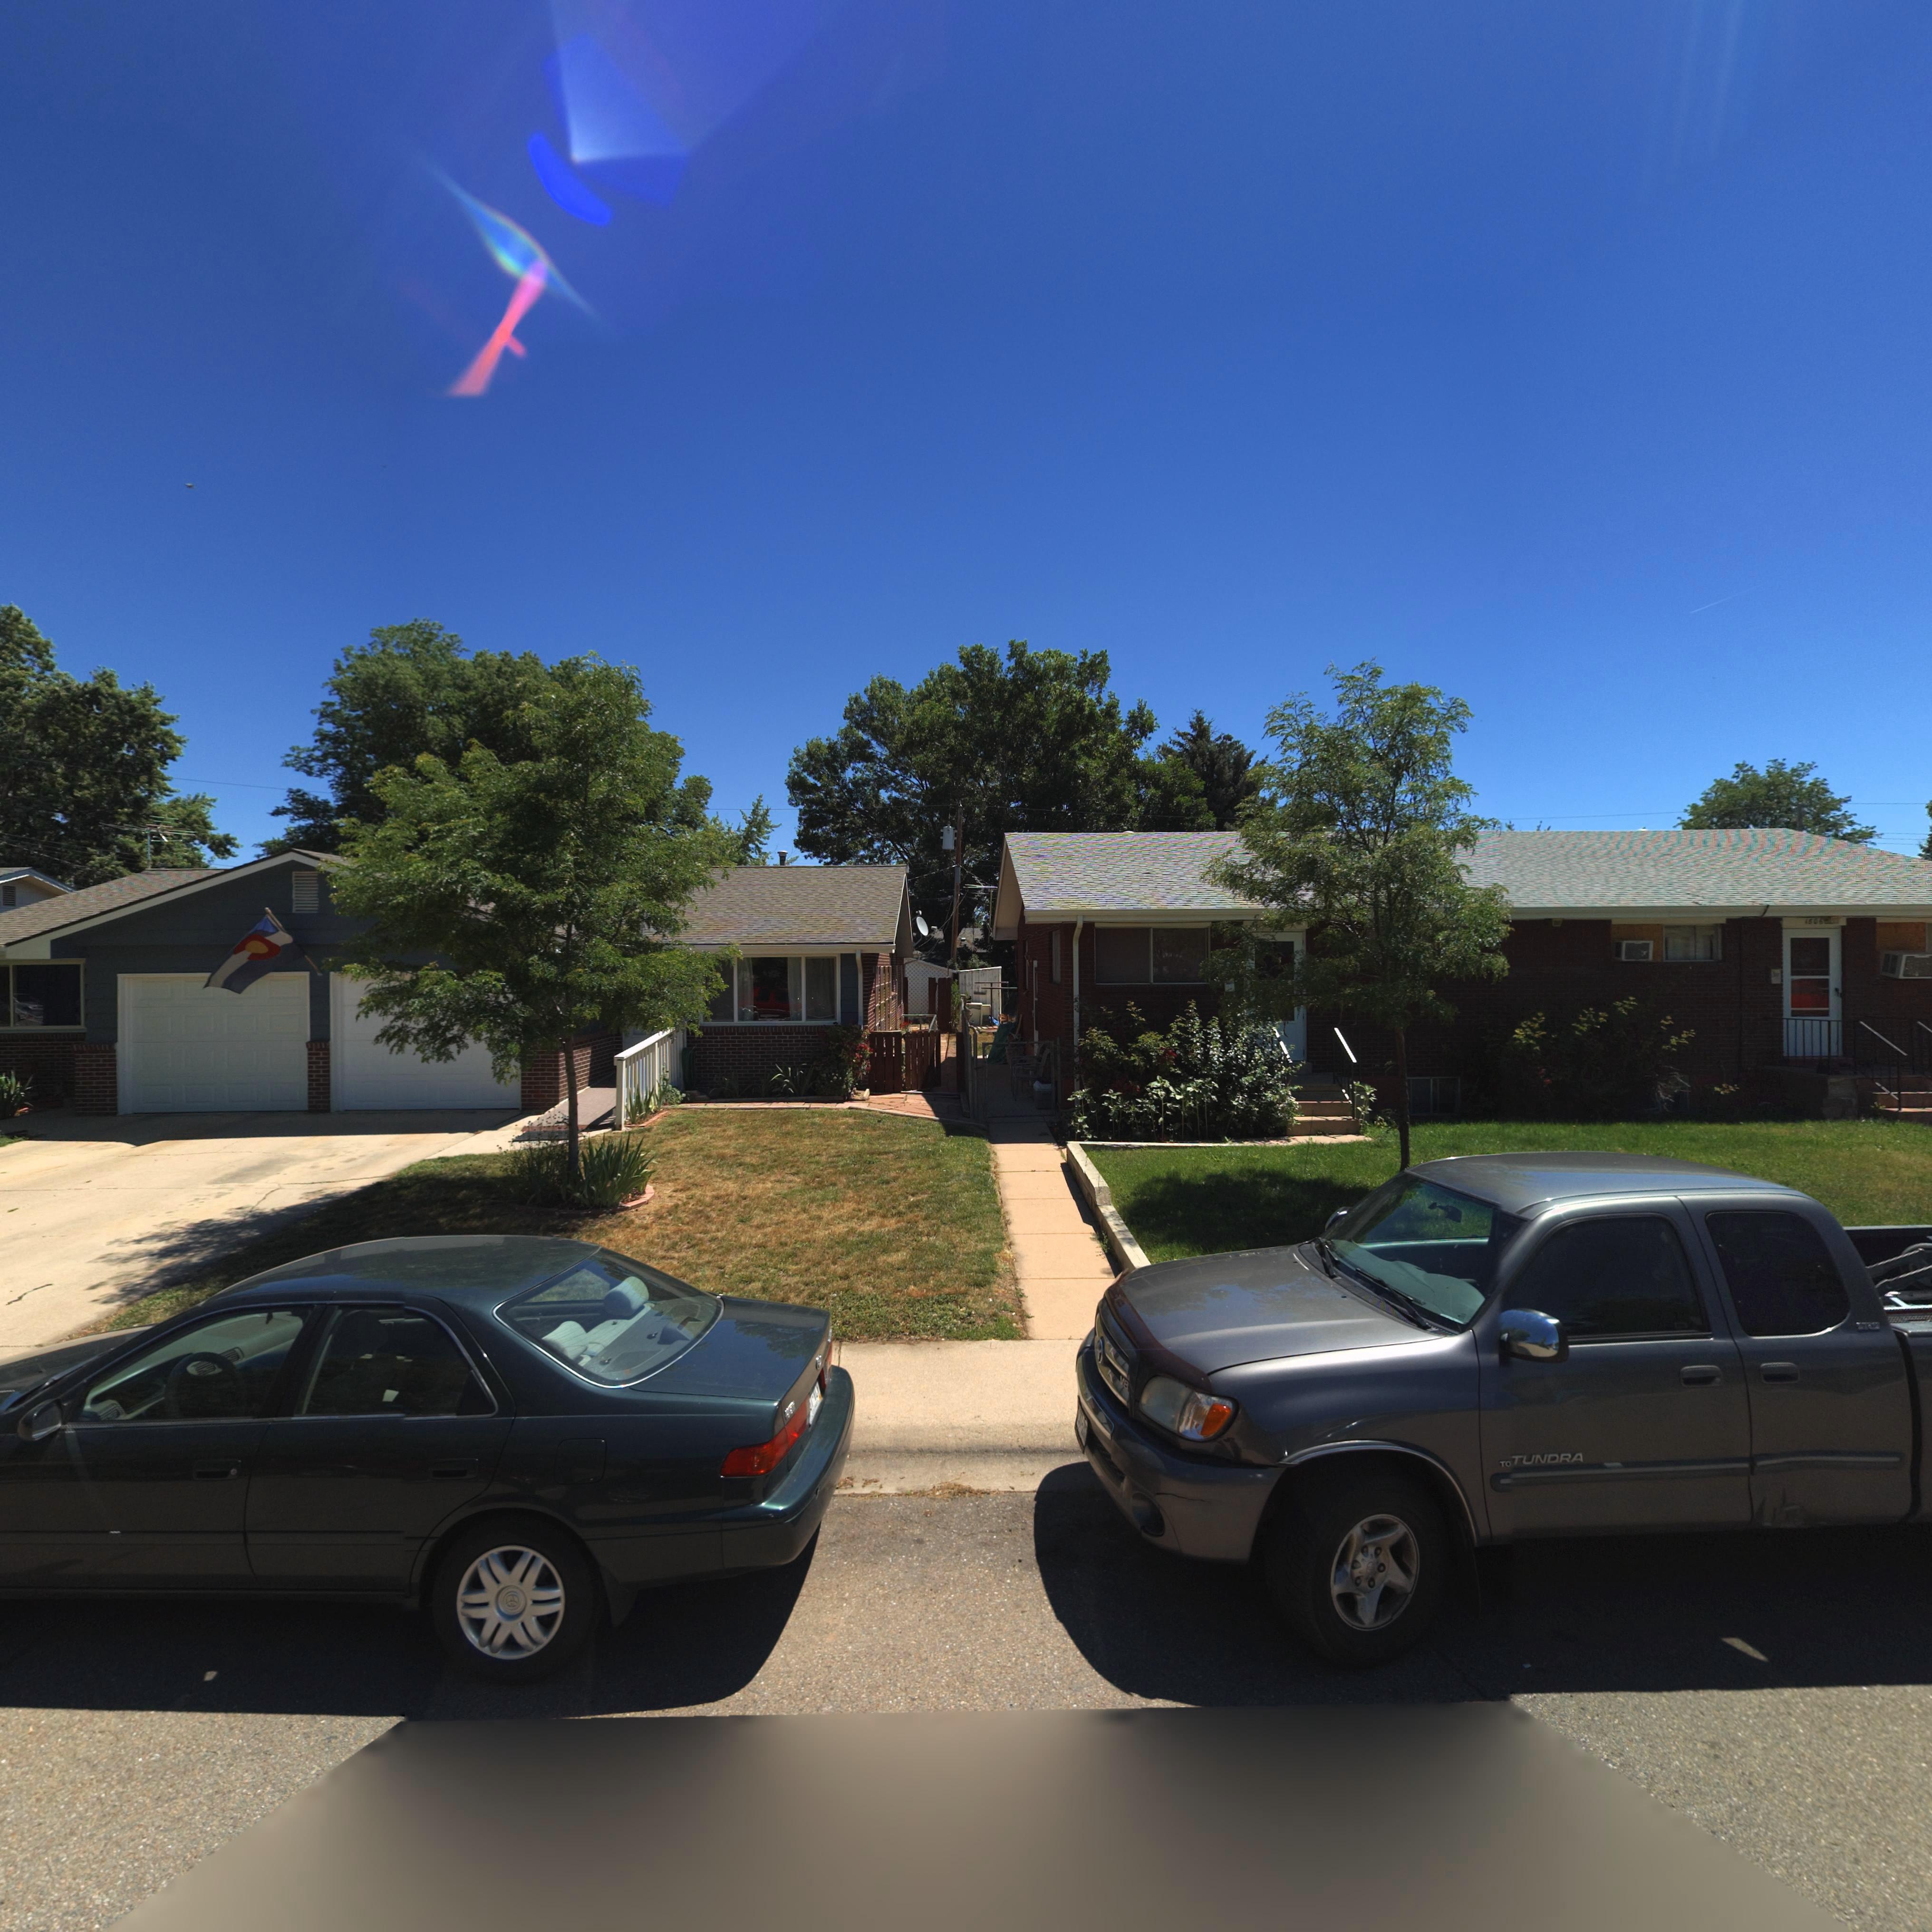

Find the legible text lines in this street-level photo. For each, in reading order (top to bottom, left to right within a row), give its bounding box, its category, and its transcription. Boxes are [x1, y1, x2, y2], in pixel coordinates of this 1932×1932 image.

[1804, 917, 1825, 925] StreetNumber: 15*6